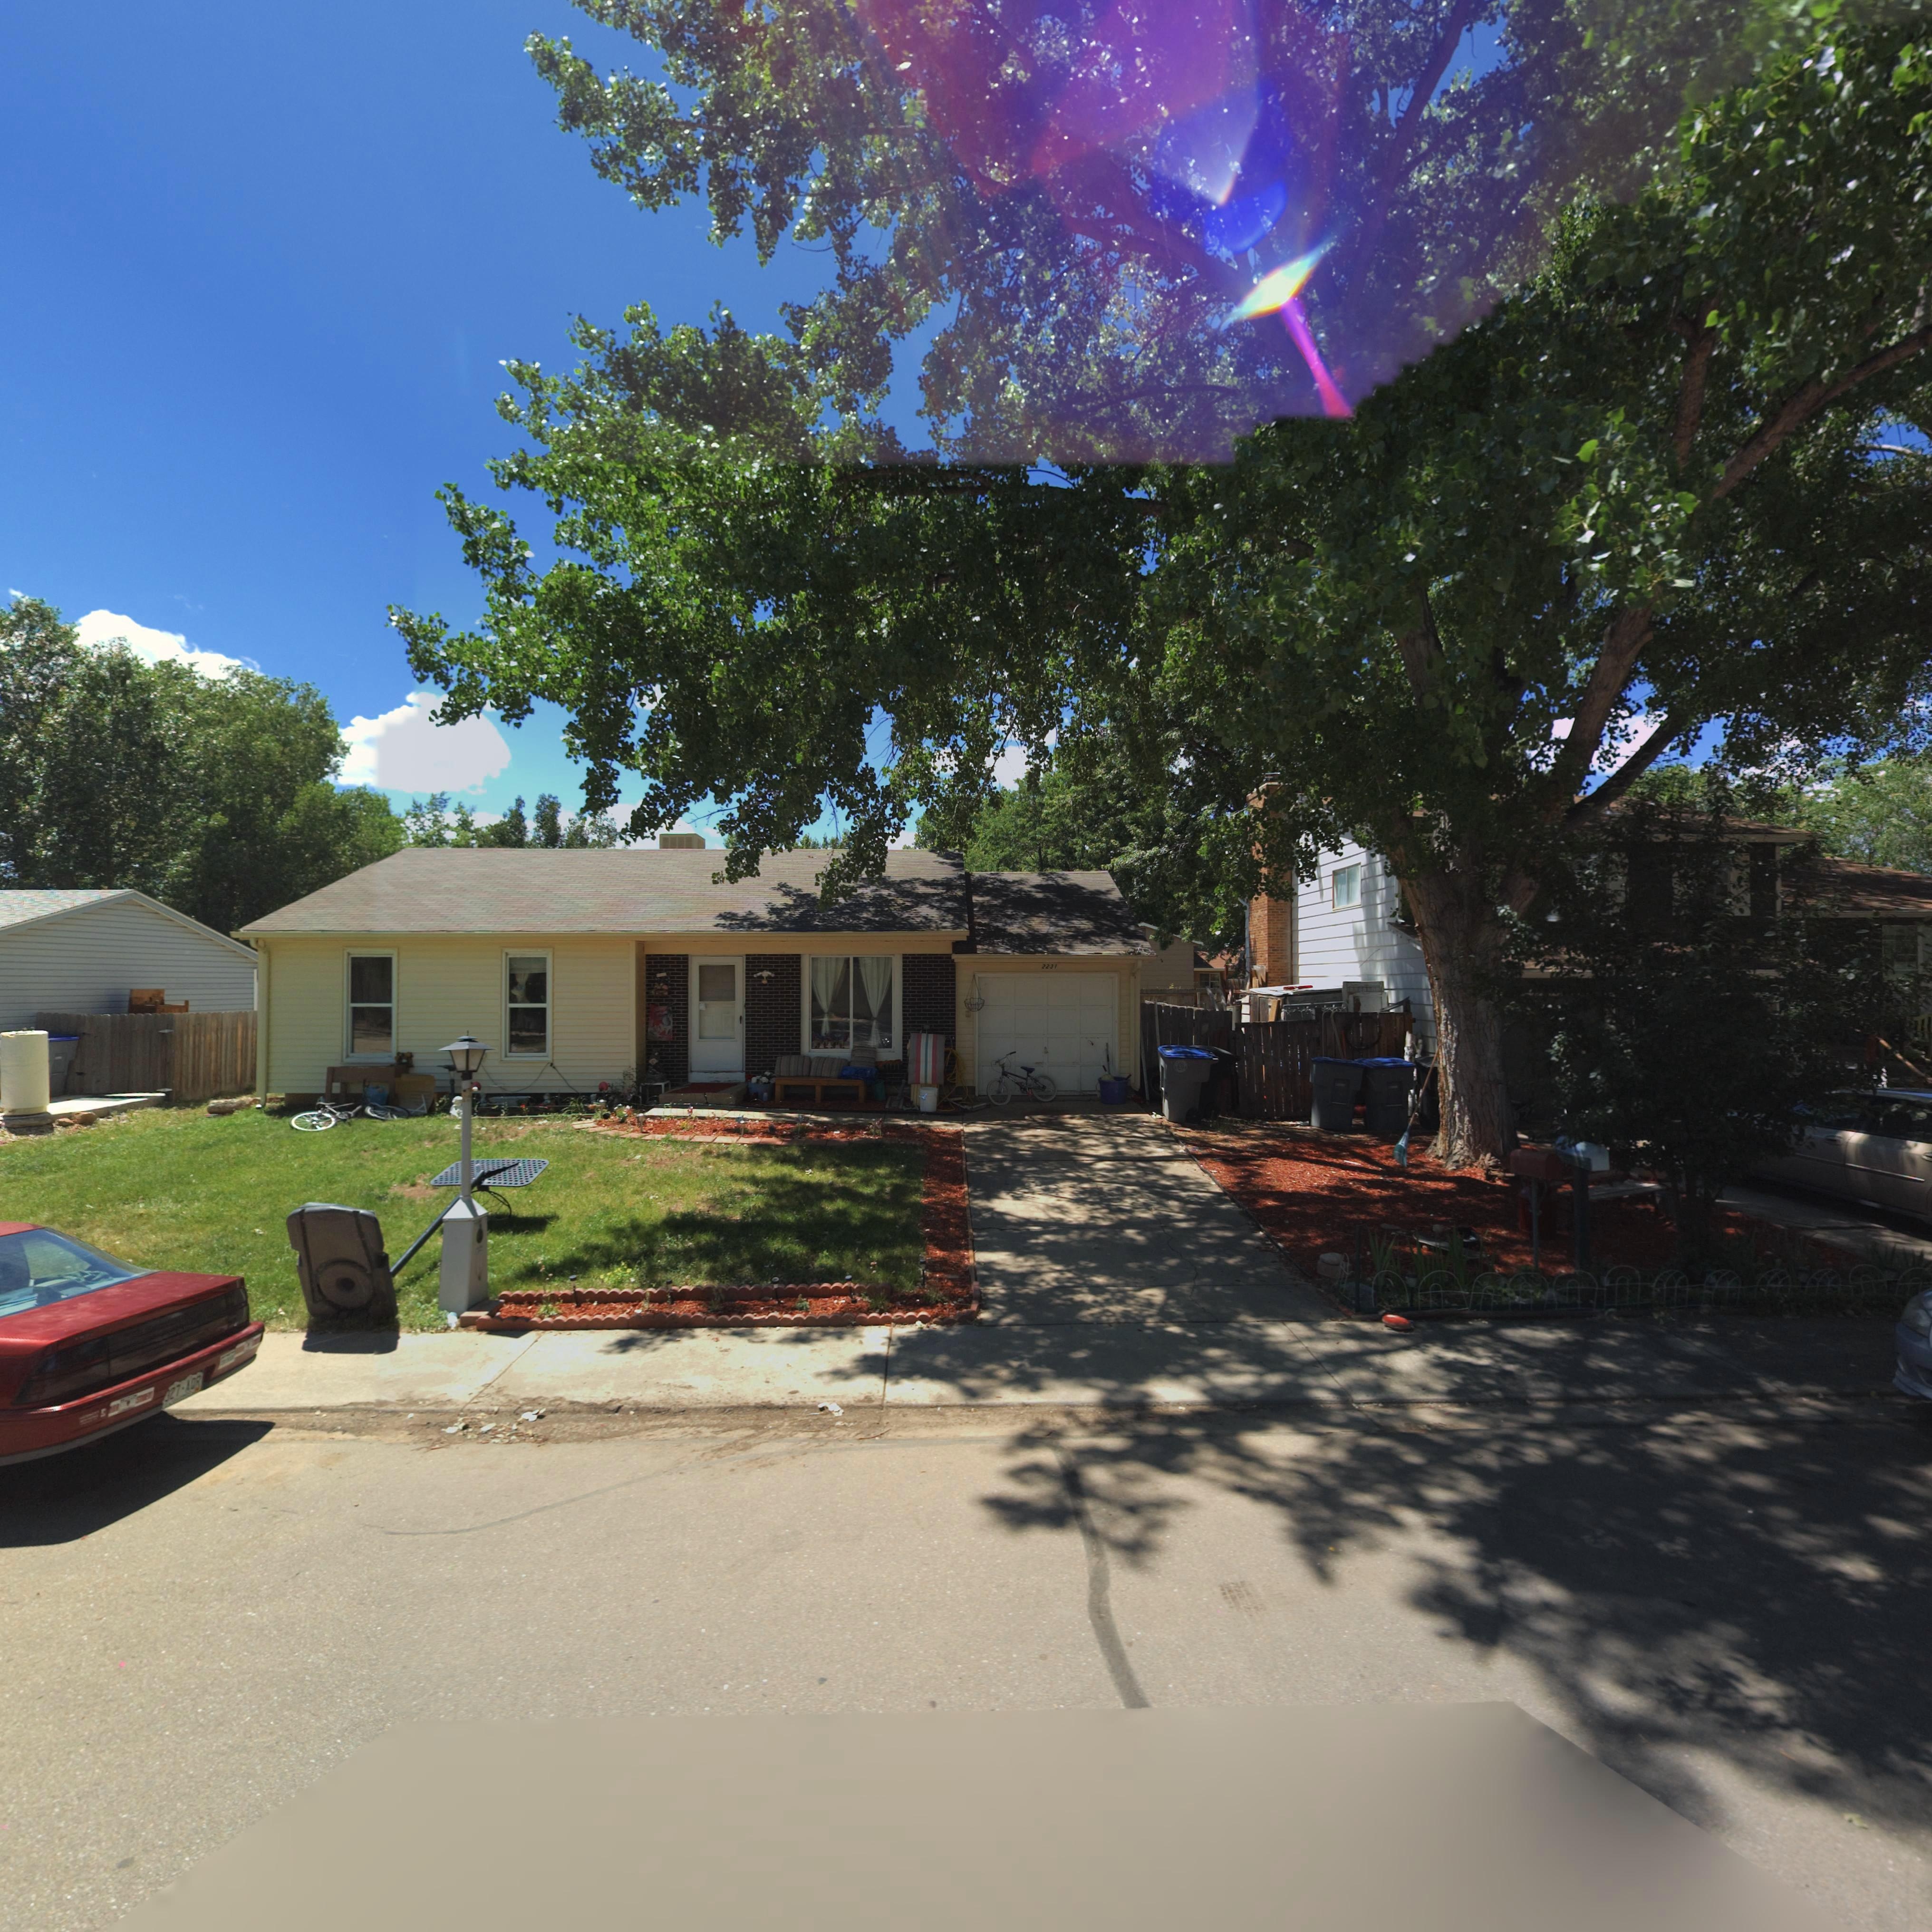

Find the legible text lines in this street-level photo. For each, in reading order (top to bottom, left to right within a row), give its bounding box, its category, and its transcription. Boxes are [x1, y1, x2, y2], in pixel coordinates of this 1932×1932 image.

[1042, 964, 1057, 969] StreetNumber: 2231